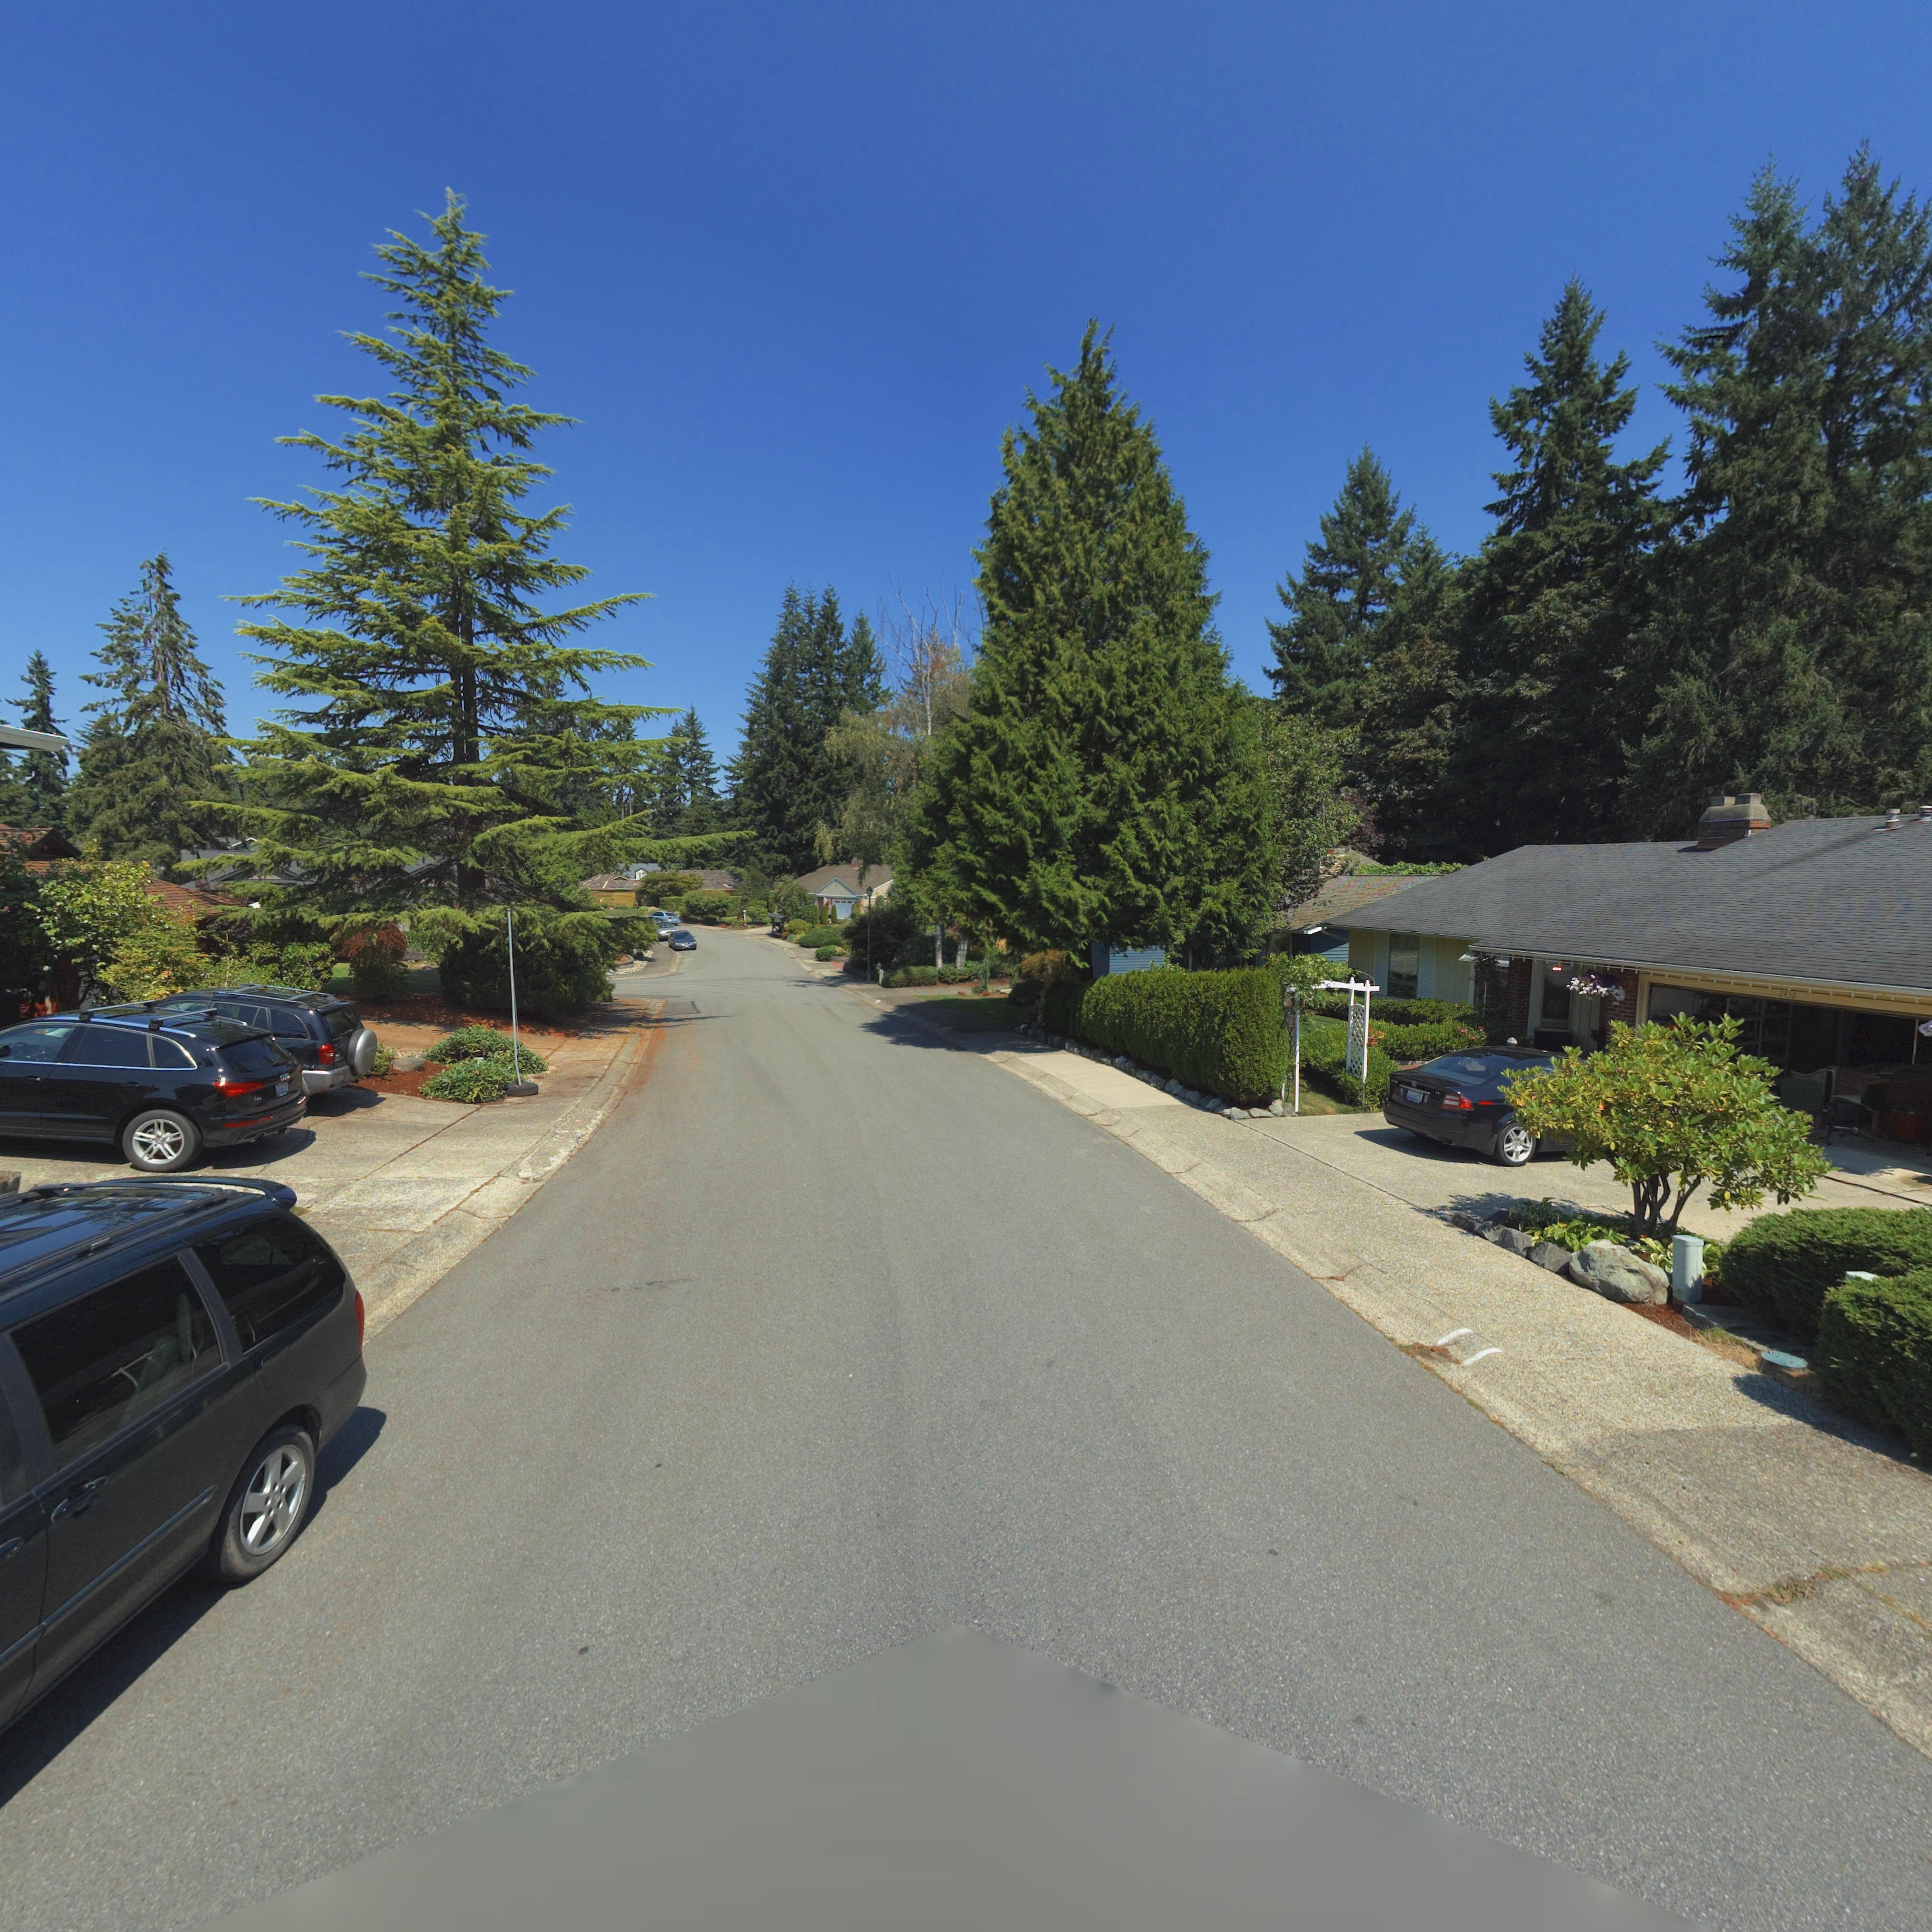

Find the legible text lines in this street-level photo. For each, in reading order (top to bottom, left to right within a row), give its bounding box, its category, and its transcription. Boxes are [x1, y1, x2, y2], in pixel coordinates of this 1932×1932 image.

[1778, 989, 1797, 999] StreetNumber: 2432